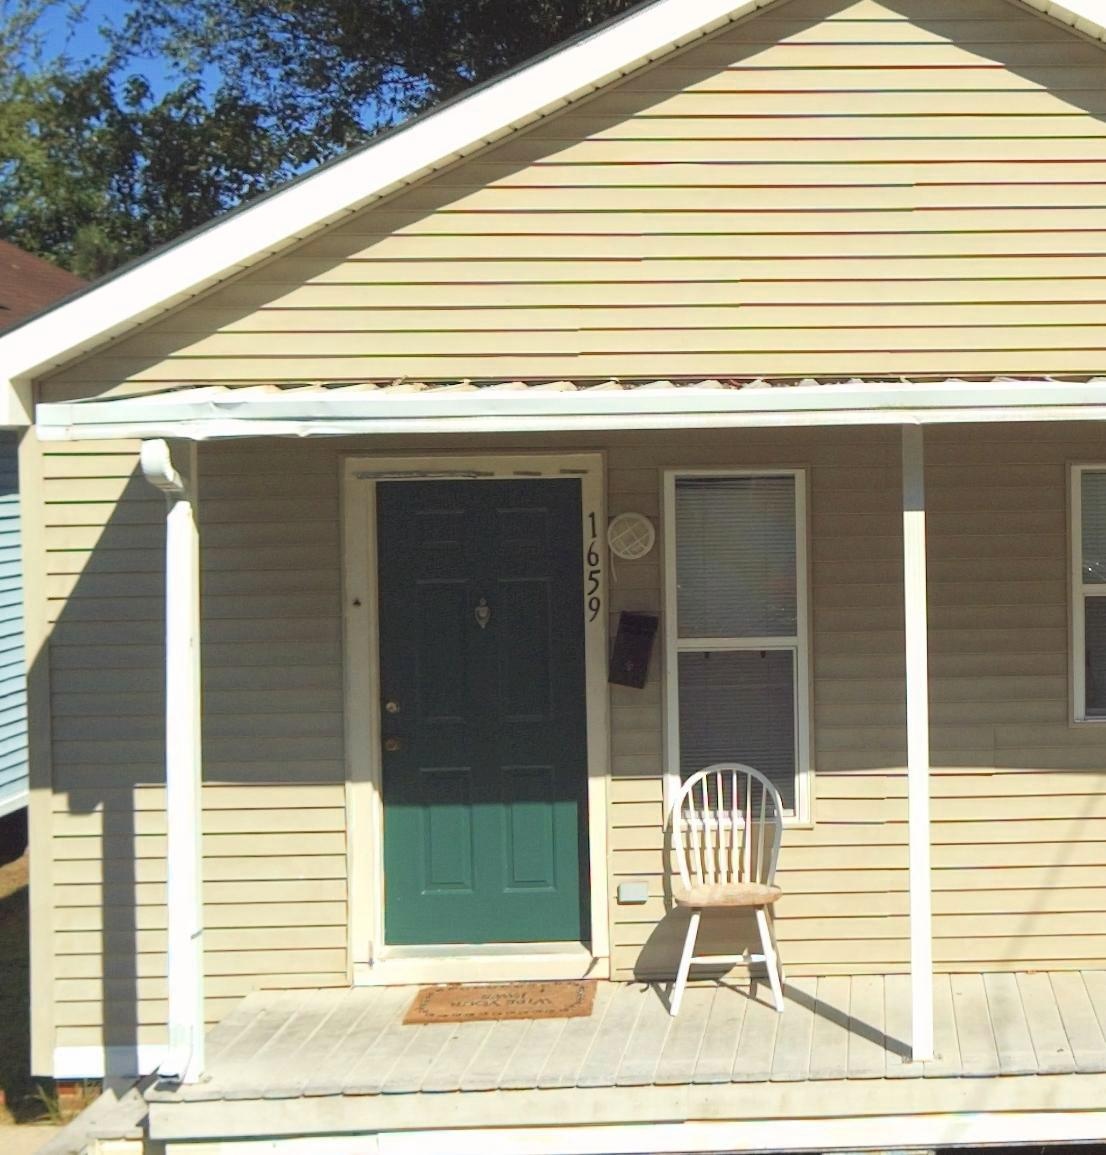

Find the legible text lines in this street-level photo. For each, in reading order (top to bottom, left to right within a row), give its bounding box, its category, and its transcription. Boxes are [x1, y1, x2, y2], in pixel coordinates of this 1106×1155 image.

[584, 507, 604, 624] StreetNumber: 1659